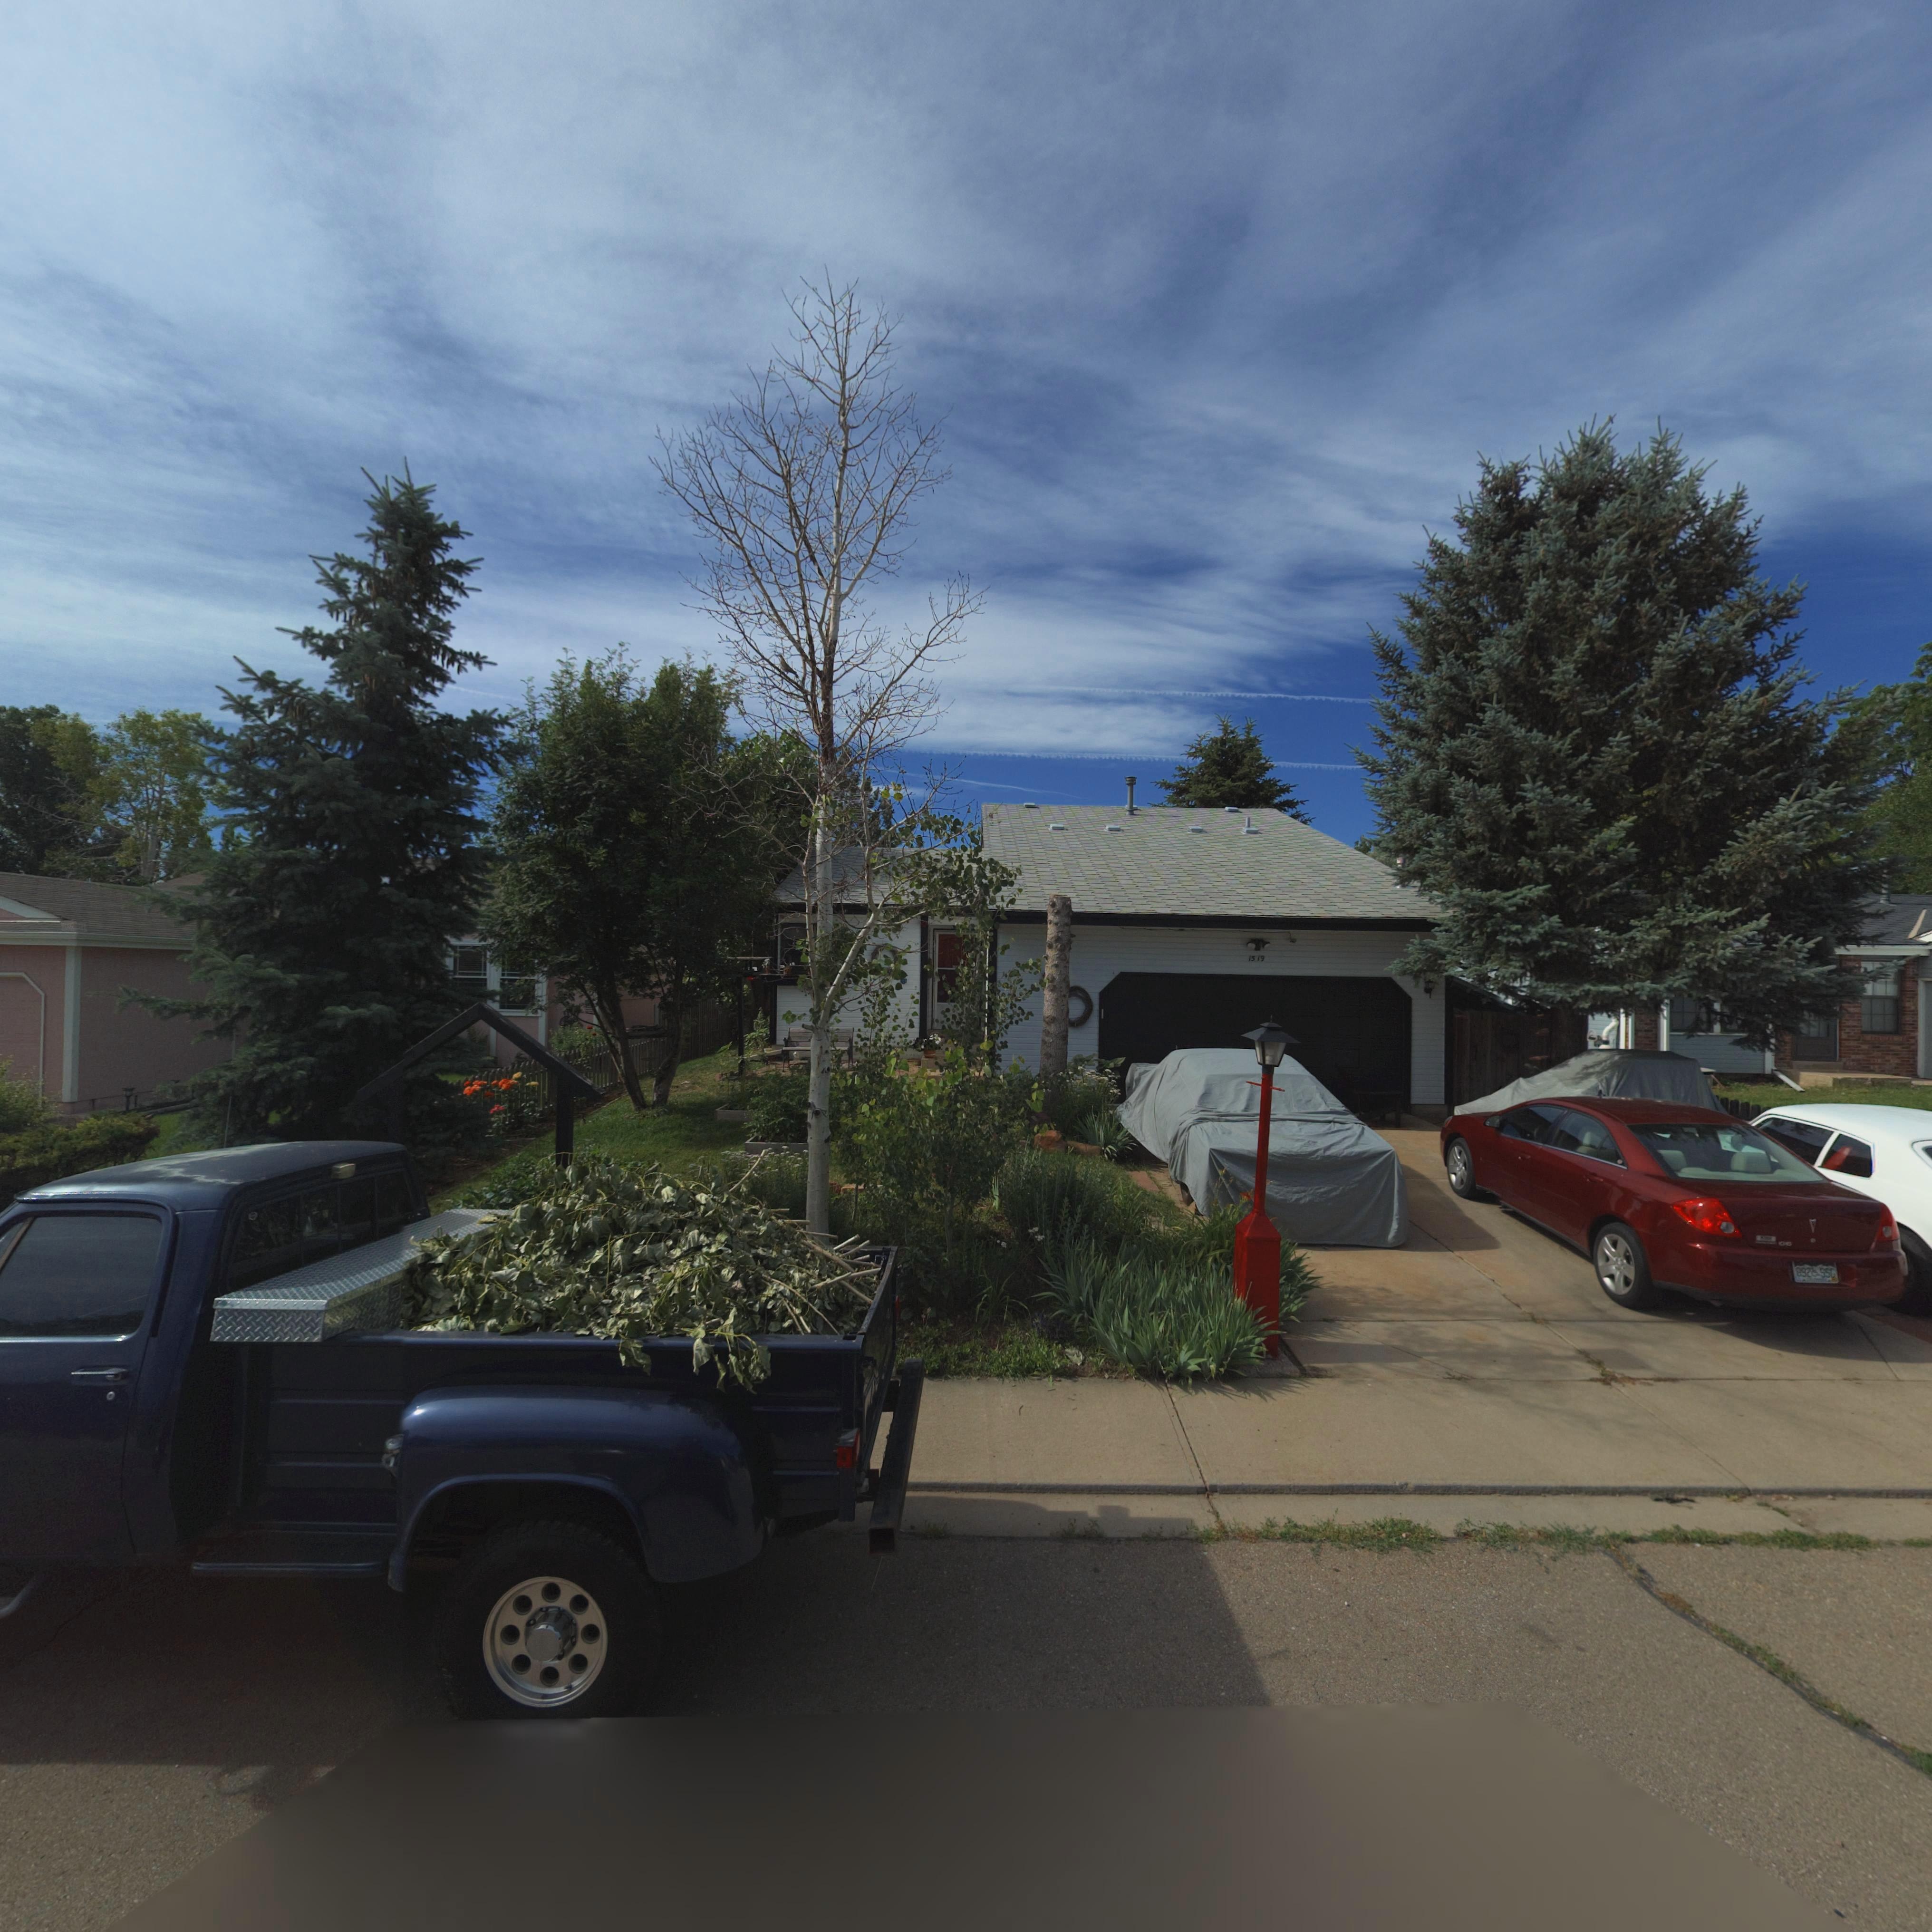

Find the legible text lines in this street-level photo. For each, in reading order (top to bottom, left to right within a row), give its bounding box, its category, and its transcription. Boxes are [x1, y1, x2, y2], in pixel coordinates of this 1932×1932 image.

[1247, 954, 1265, 962] StreetNumber: 1519